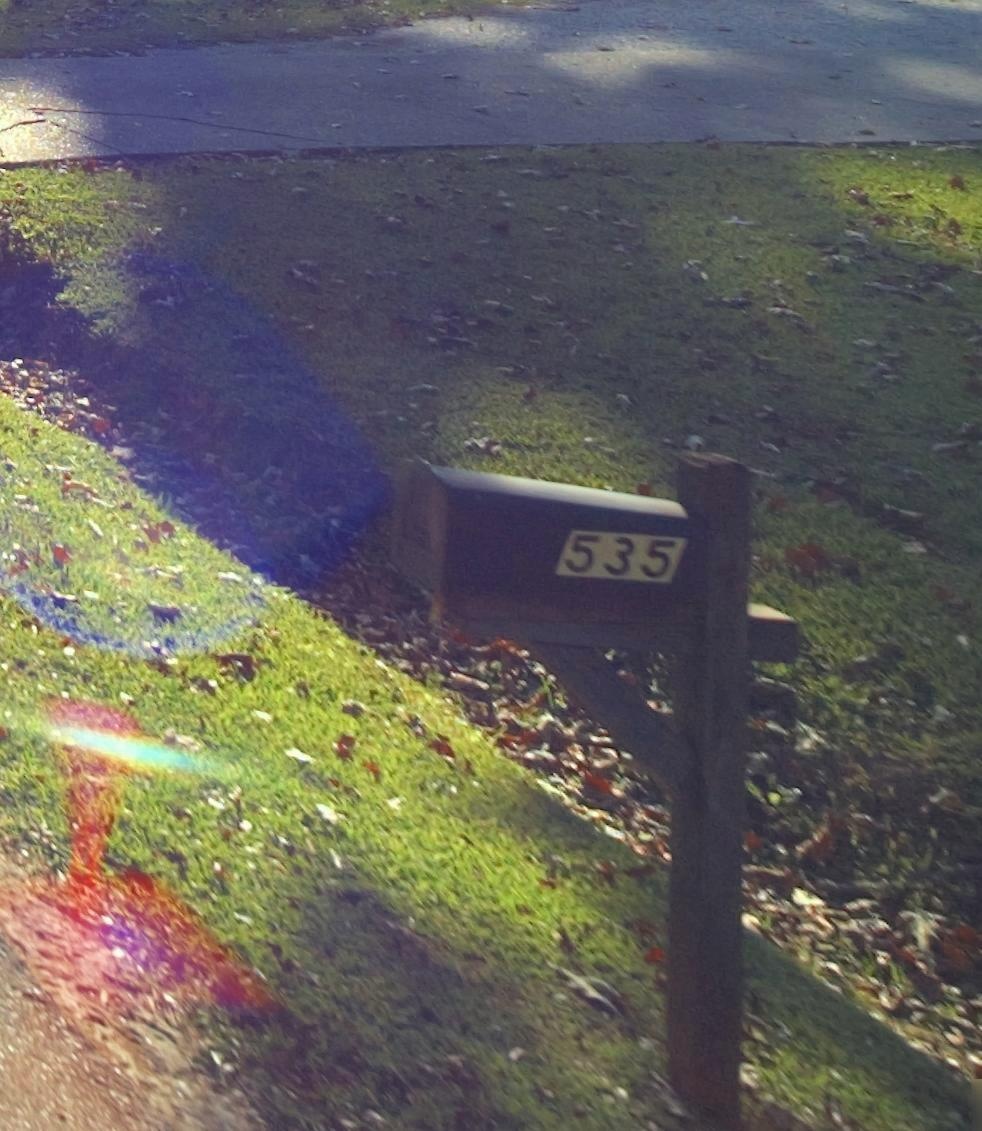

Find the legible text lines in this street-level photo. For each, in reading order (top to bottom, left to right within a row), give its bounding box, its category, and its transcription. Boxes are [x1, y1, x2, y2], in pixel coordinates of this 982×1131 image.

[553, 529, 686, 584] StreetNumber: 535